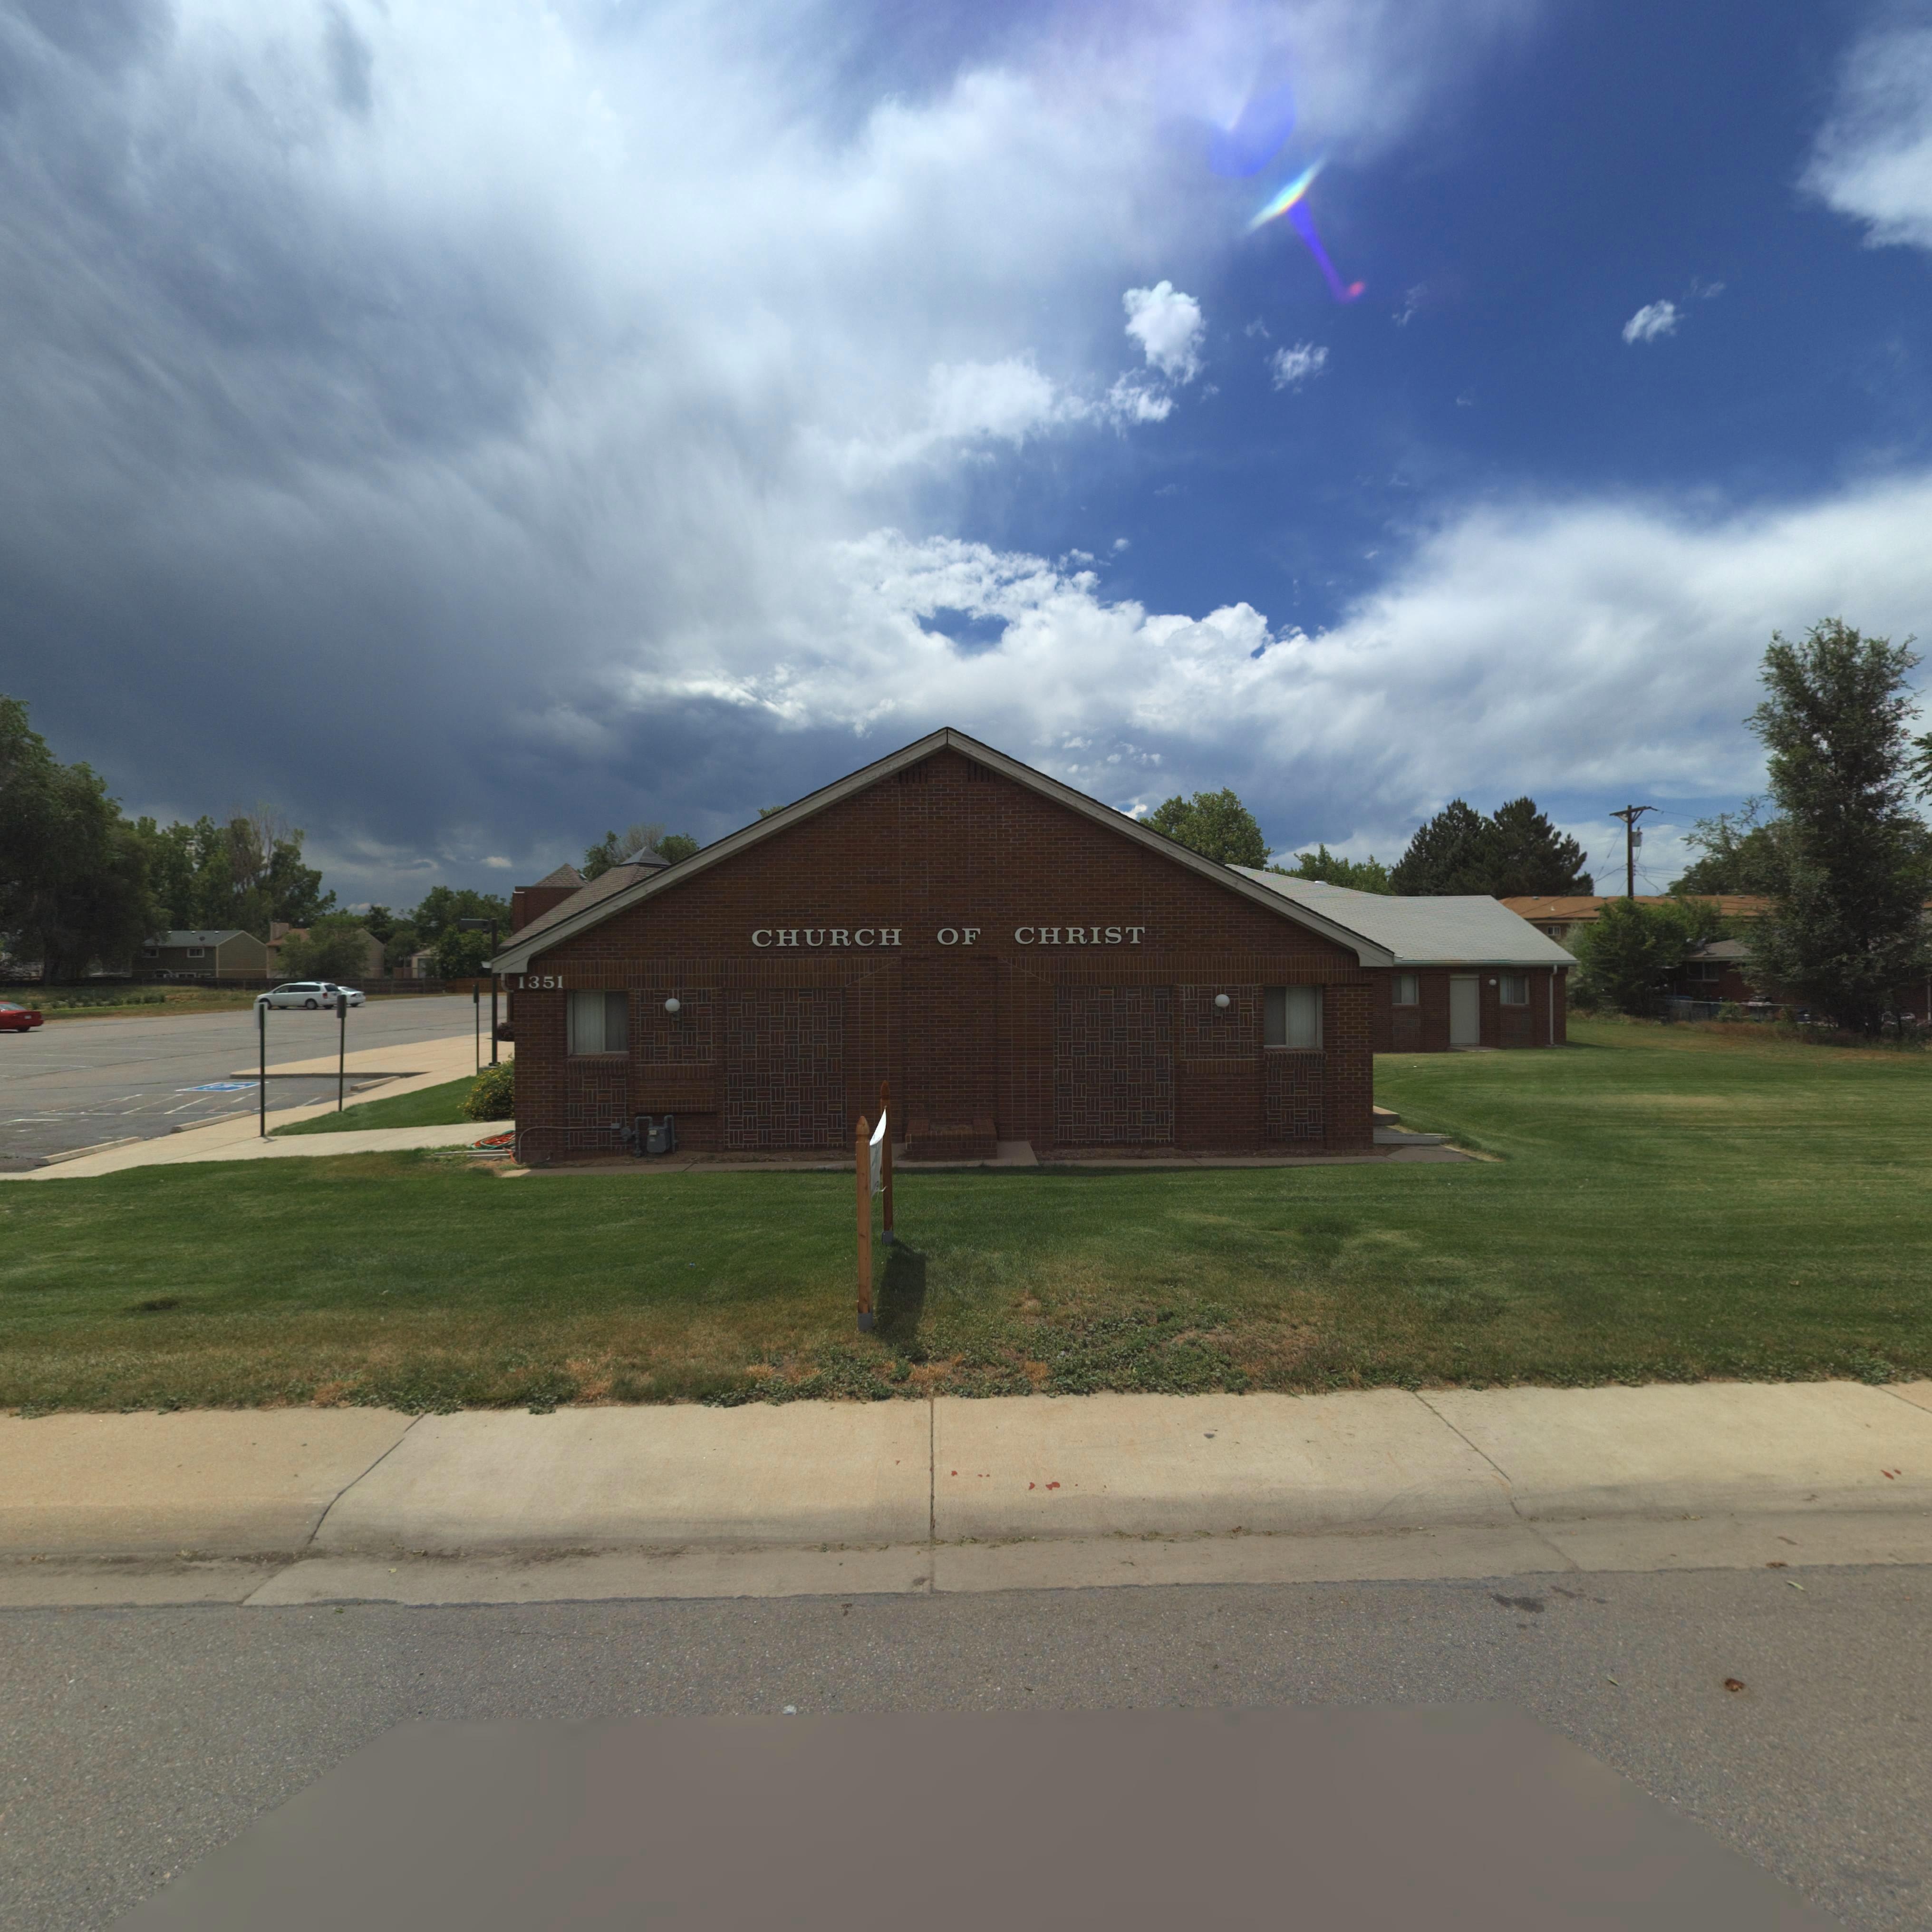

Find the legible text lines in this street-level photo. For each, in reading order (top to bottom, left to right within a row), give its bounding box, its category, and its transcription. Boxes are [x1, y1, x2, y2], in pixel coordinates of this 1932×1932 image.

[751, 927, 1144, 947] BusinessName: CHURCH OF CHRIST
[518, 974, 562, 989] StreetNumber: 1351